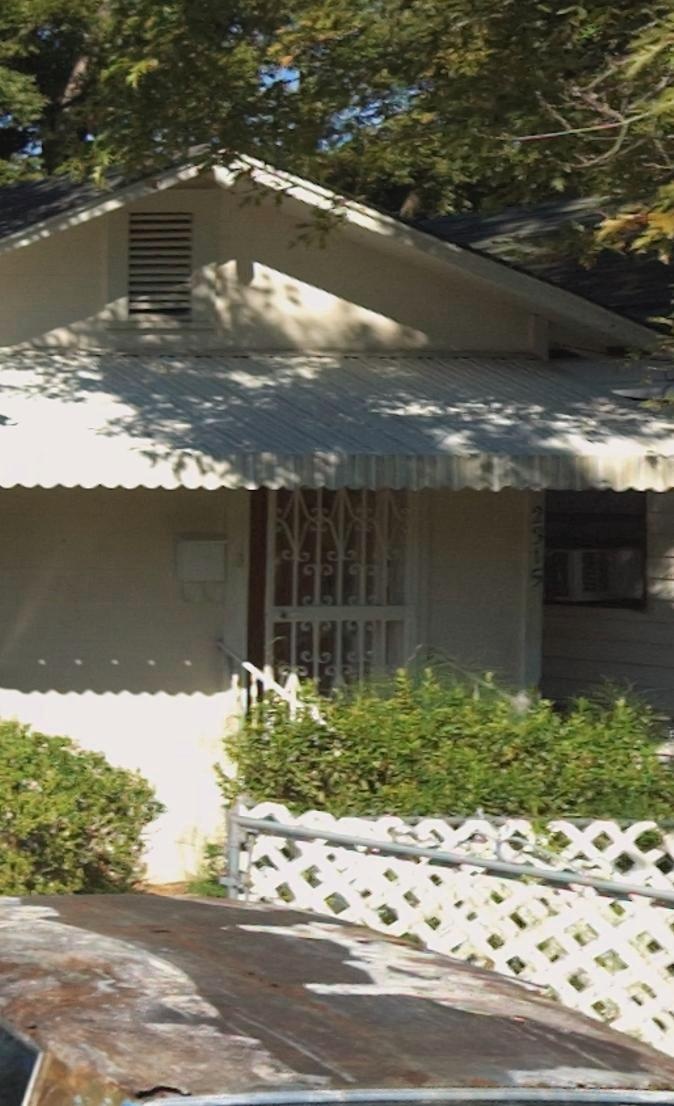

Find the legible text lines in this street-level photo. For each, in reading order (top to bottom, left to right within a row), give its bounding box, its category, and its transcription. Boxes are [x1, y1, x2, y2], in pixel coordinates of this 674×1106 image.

[528, 501, 546, 590] StreetNumber: 2315